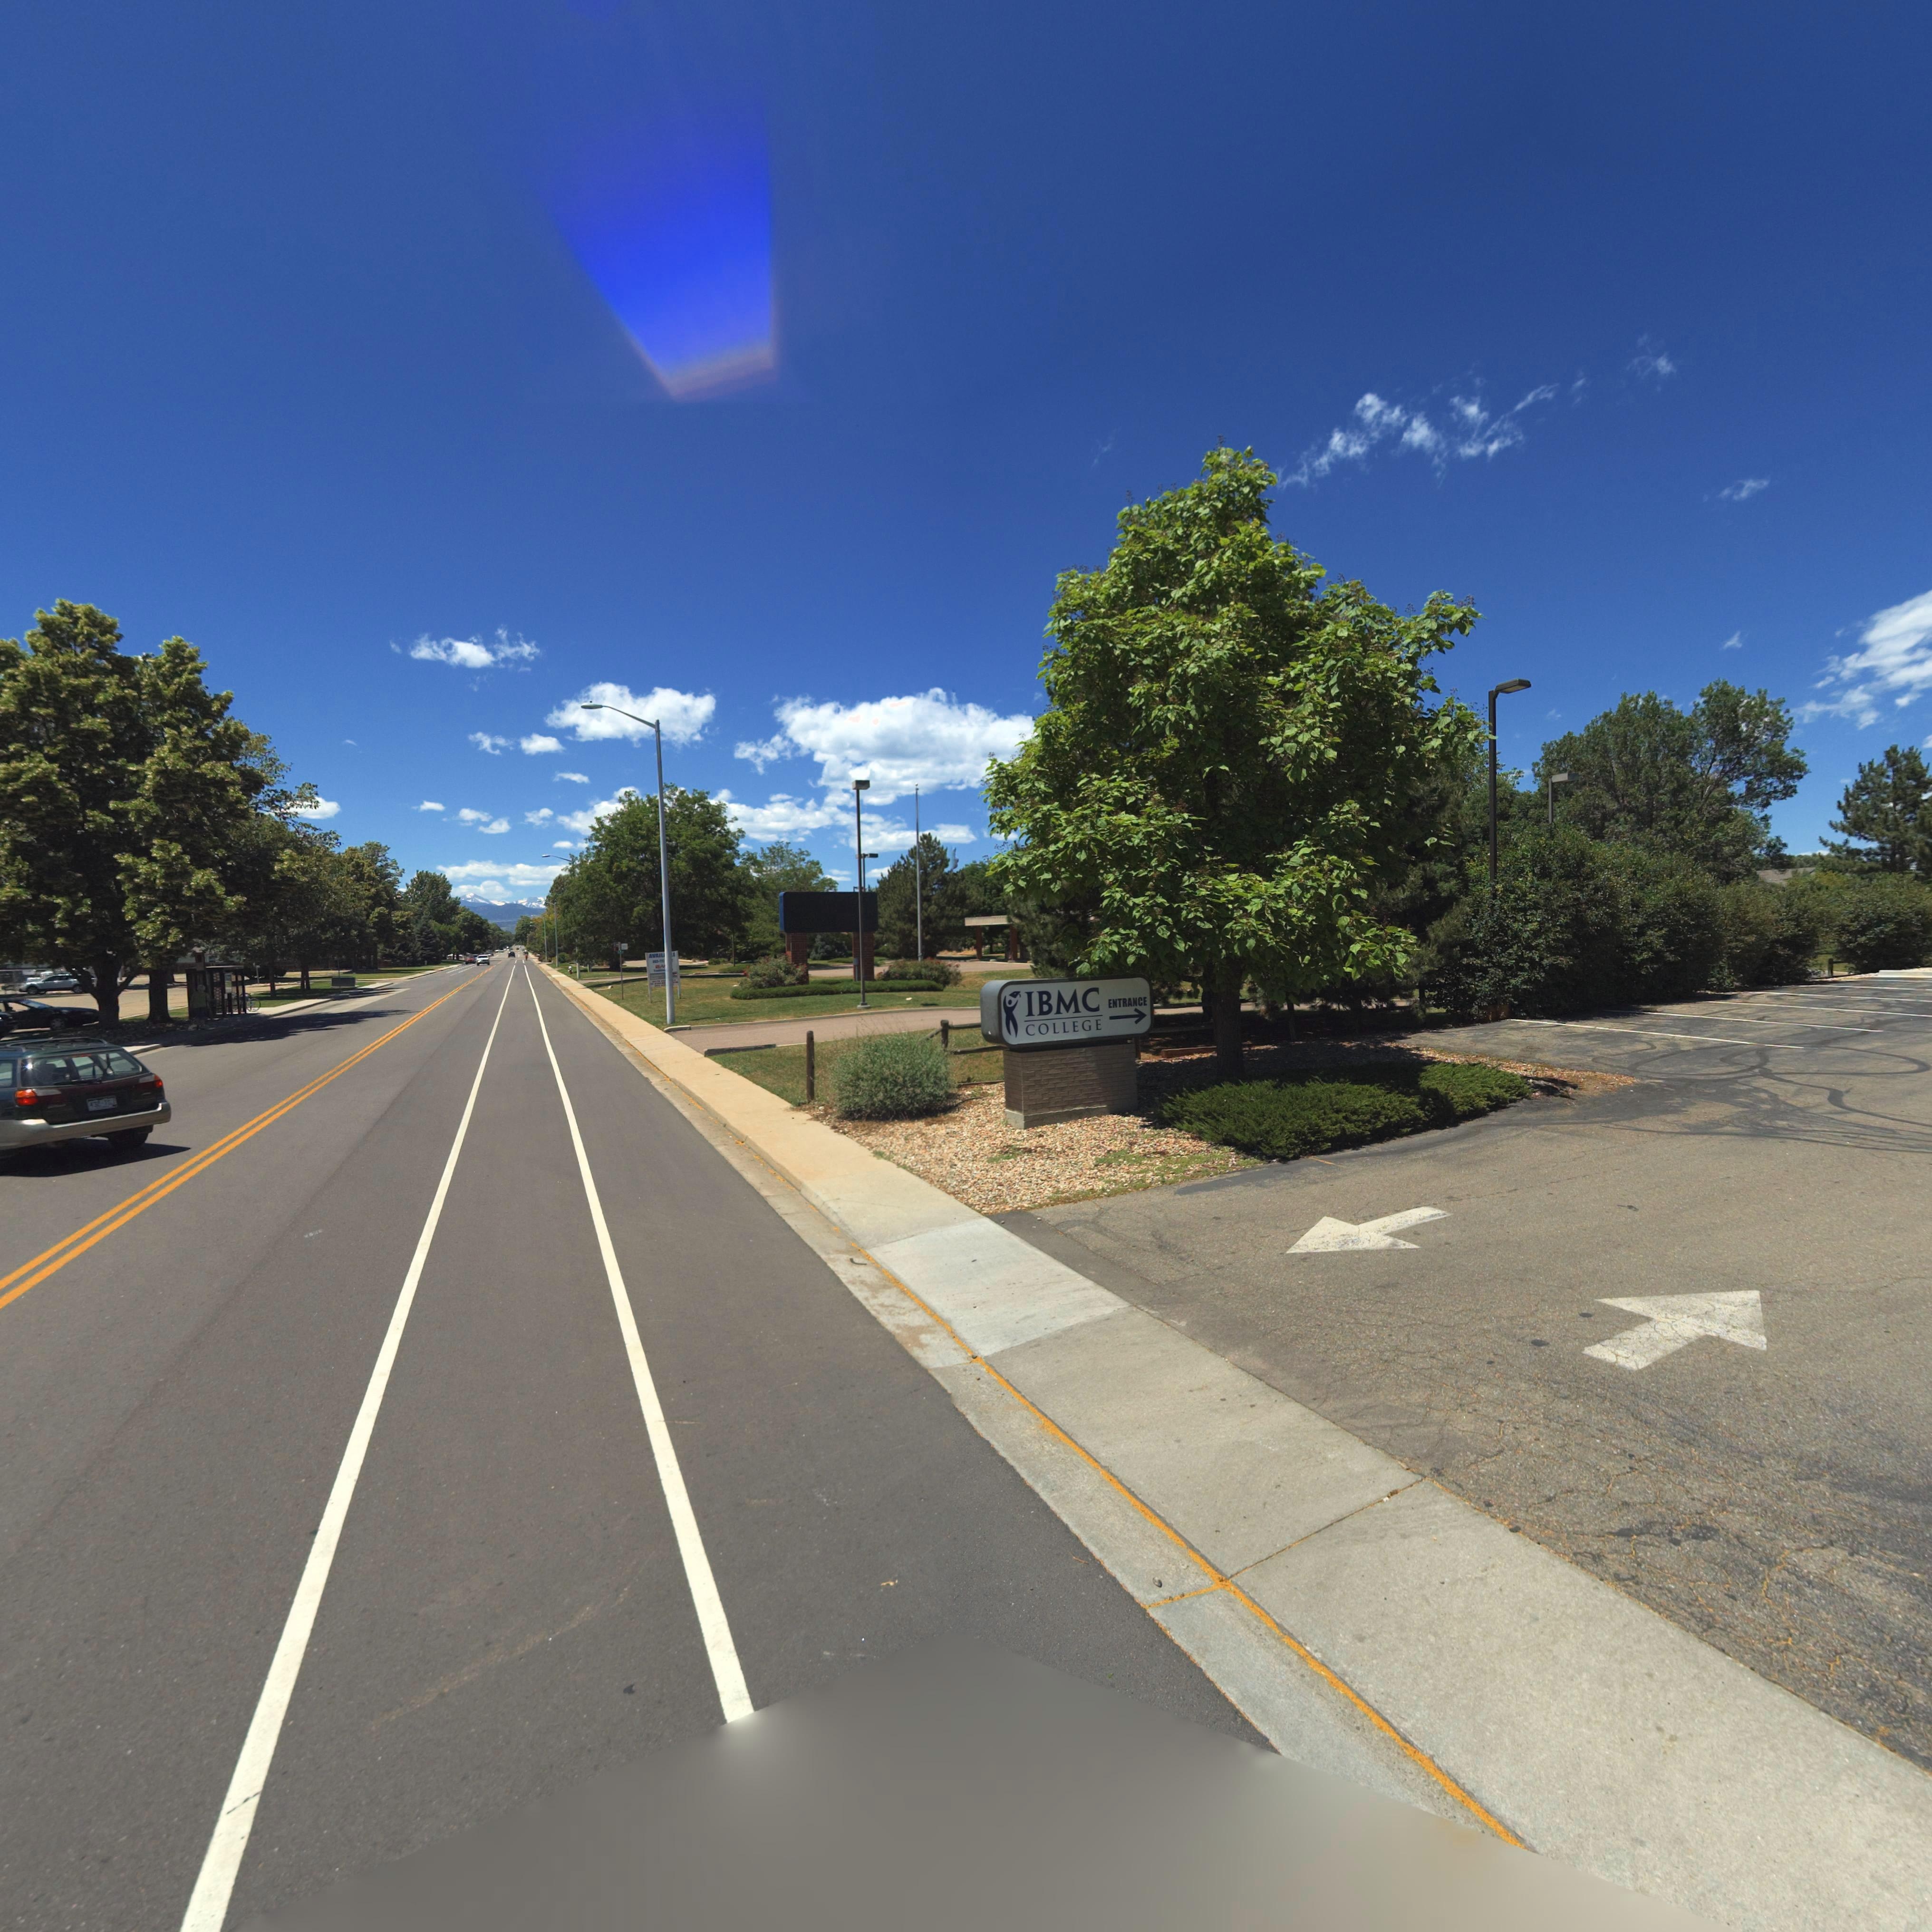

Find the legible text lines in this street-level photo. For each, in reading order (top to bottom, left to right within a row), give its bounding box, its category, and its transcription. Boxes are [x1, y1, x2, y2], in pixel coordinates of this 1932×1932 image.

[1024, 986, 1100, 1017] BusinessName: IBMC
[1025, 1018, 1102, 1036] BusinessName: COLLEGE